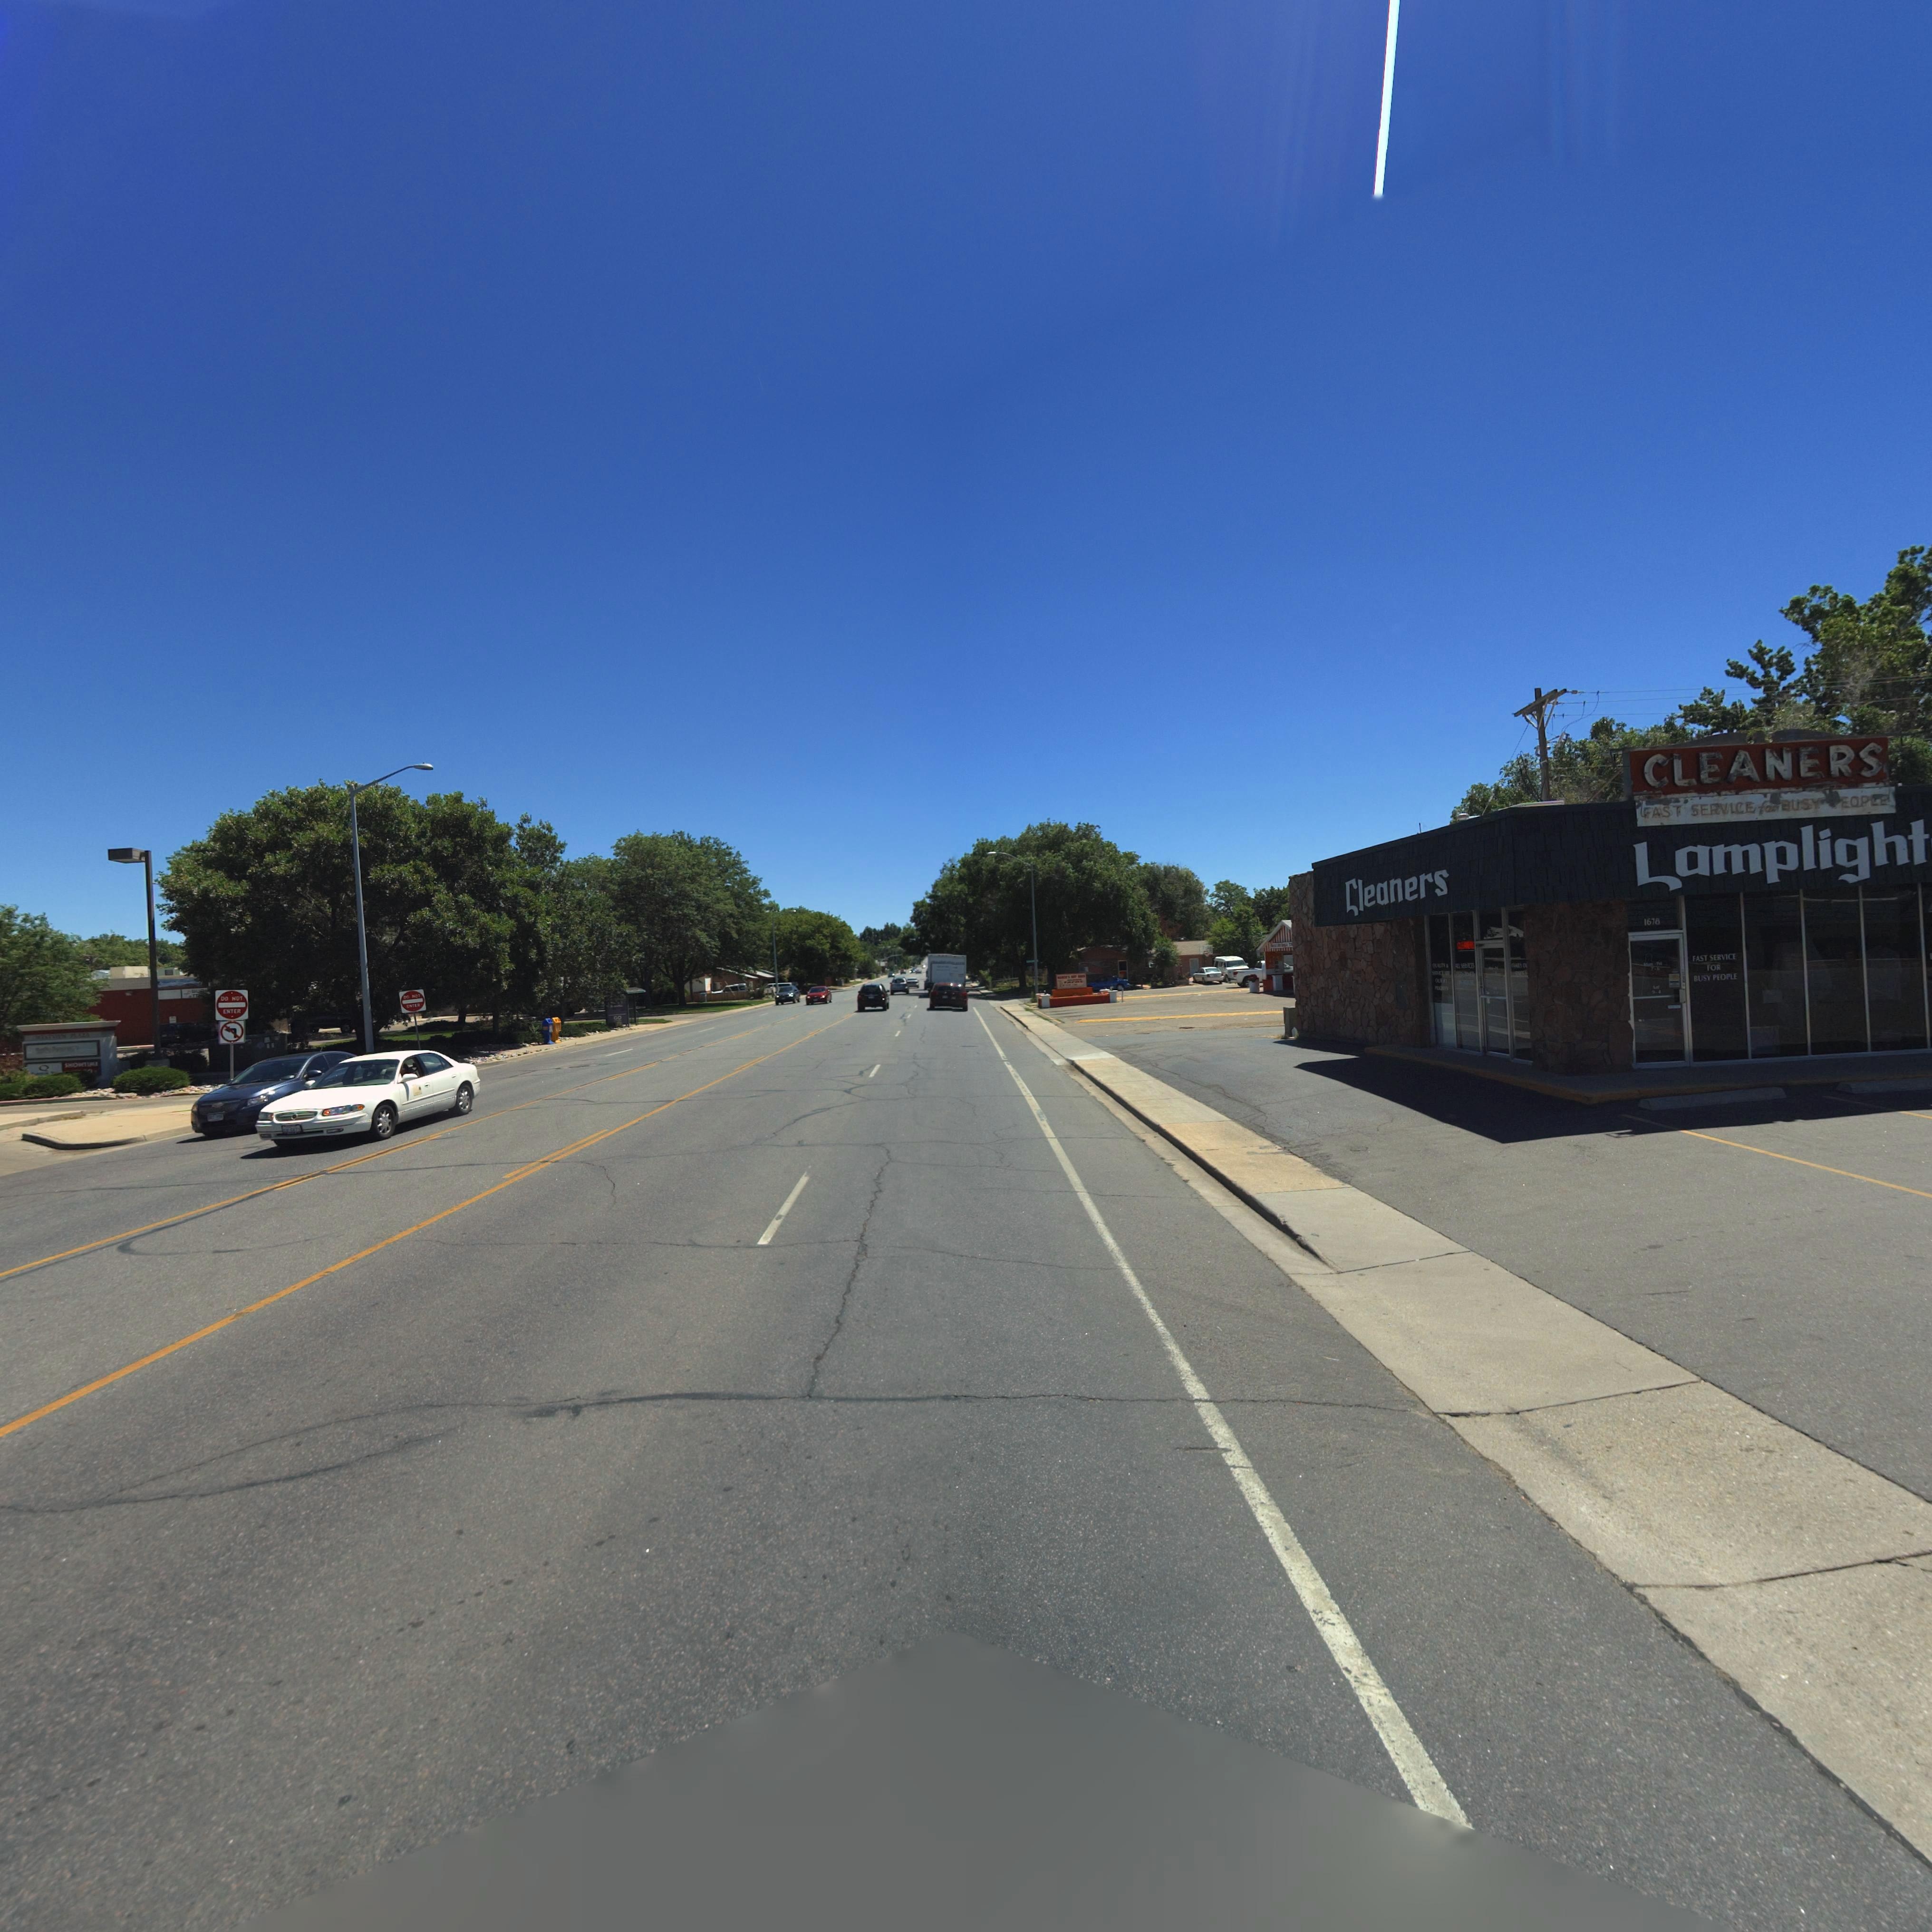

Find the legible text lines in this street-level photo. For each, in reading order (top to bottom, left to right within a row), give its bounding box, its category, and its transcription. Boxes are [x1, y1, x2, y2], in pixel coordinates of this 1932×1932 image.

[1630, 817, 1930, 892] BusinessName: Lamplight
[1344, 868, 1450, 917] BusinessName: Cleaners
[1644, 917, 1661, 926] StreetNumber: 1678
[1063, 980, 1083, 984] BusinessName: TACOS
[64, 1061, 98, 1068] BusinessName: S*OWTIM*